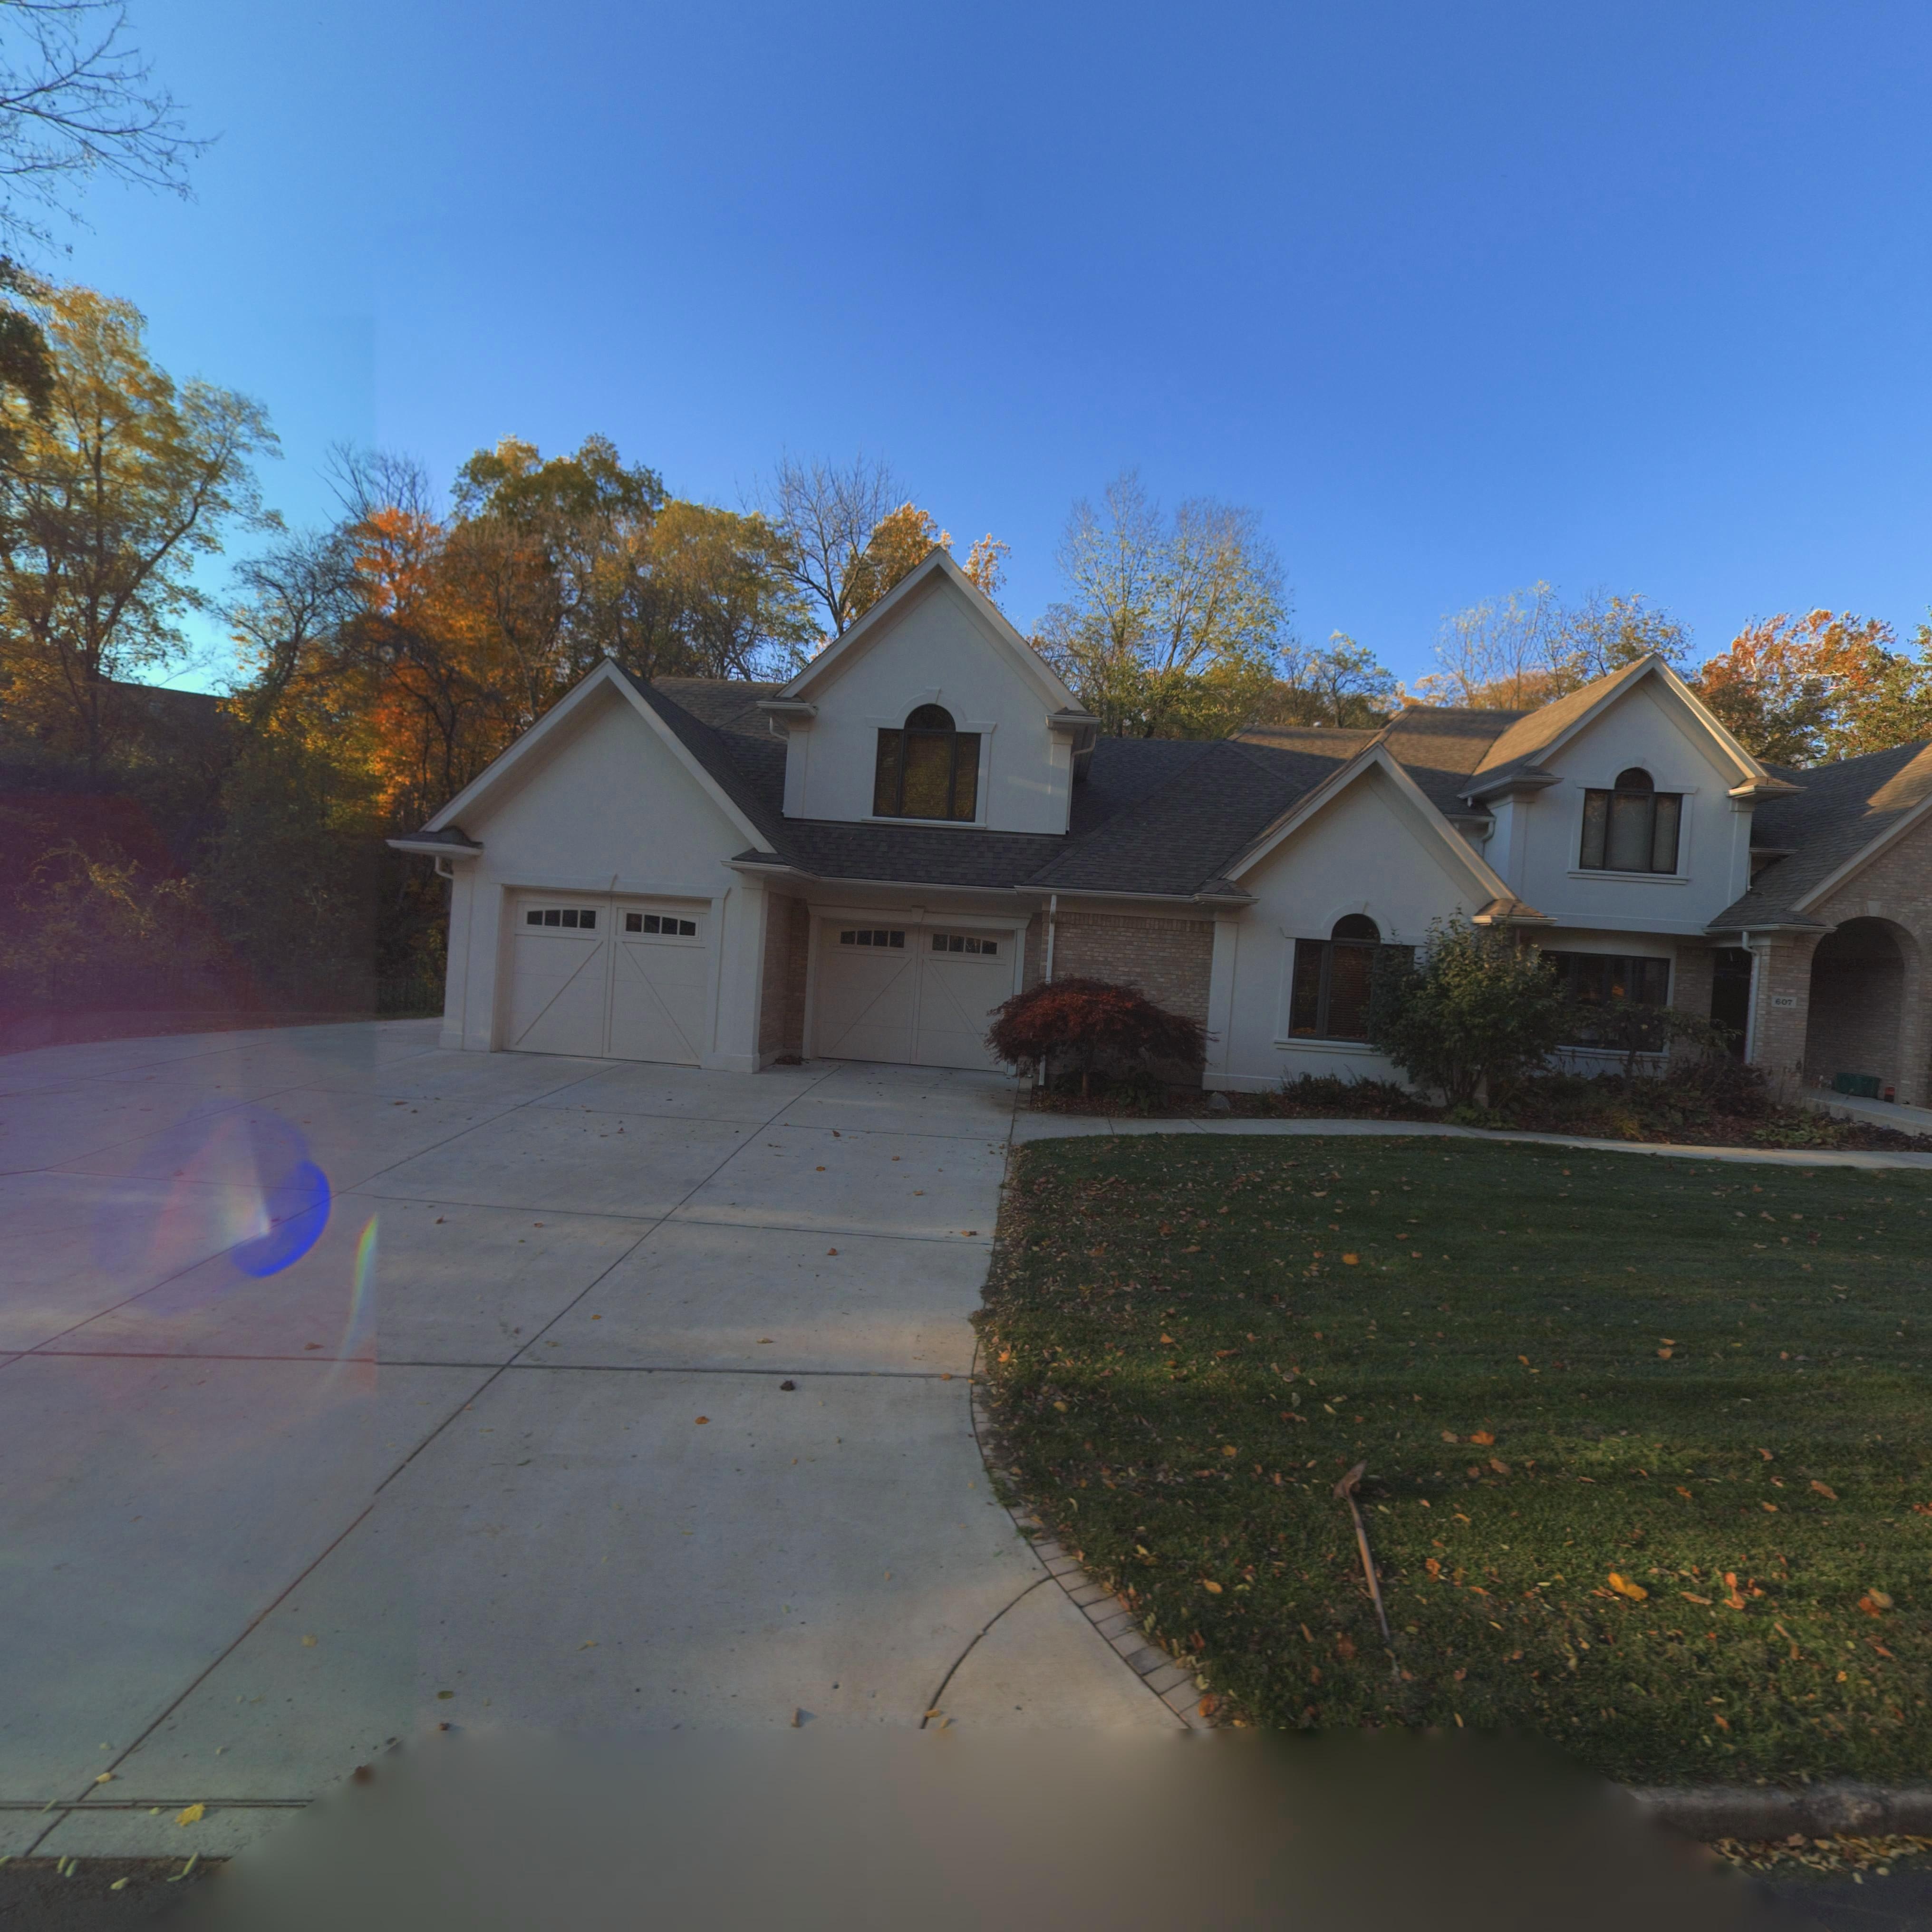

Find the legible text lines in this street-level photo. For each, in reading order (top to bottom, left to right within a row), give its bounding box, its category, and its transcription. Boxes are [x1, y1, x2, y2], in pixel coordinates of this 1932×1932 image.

[1775, 997, 1795, 1006] StreetNumber: 607